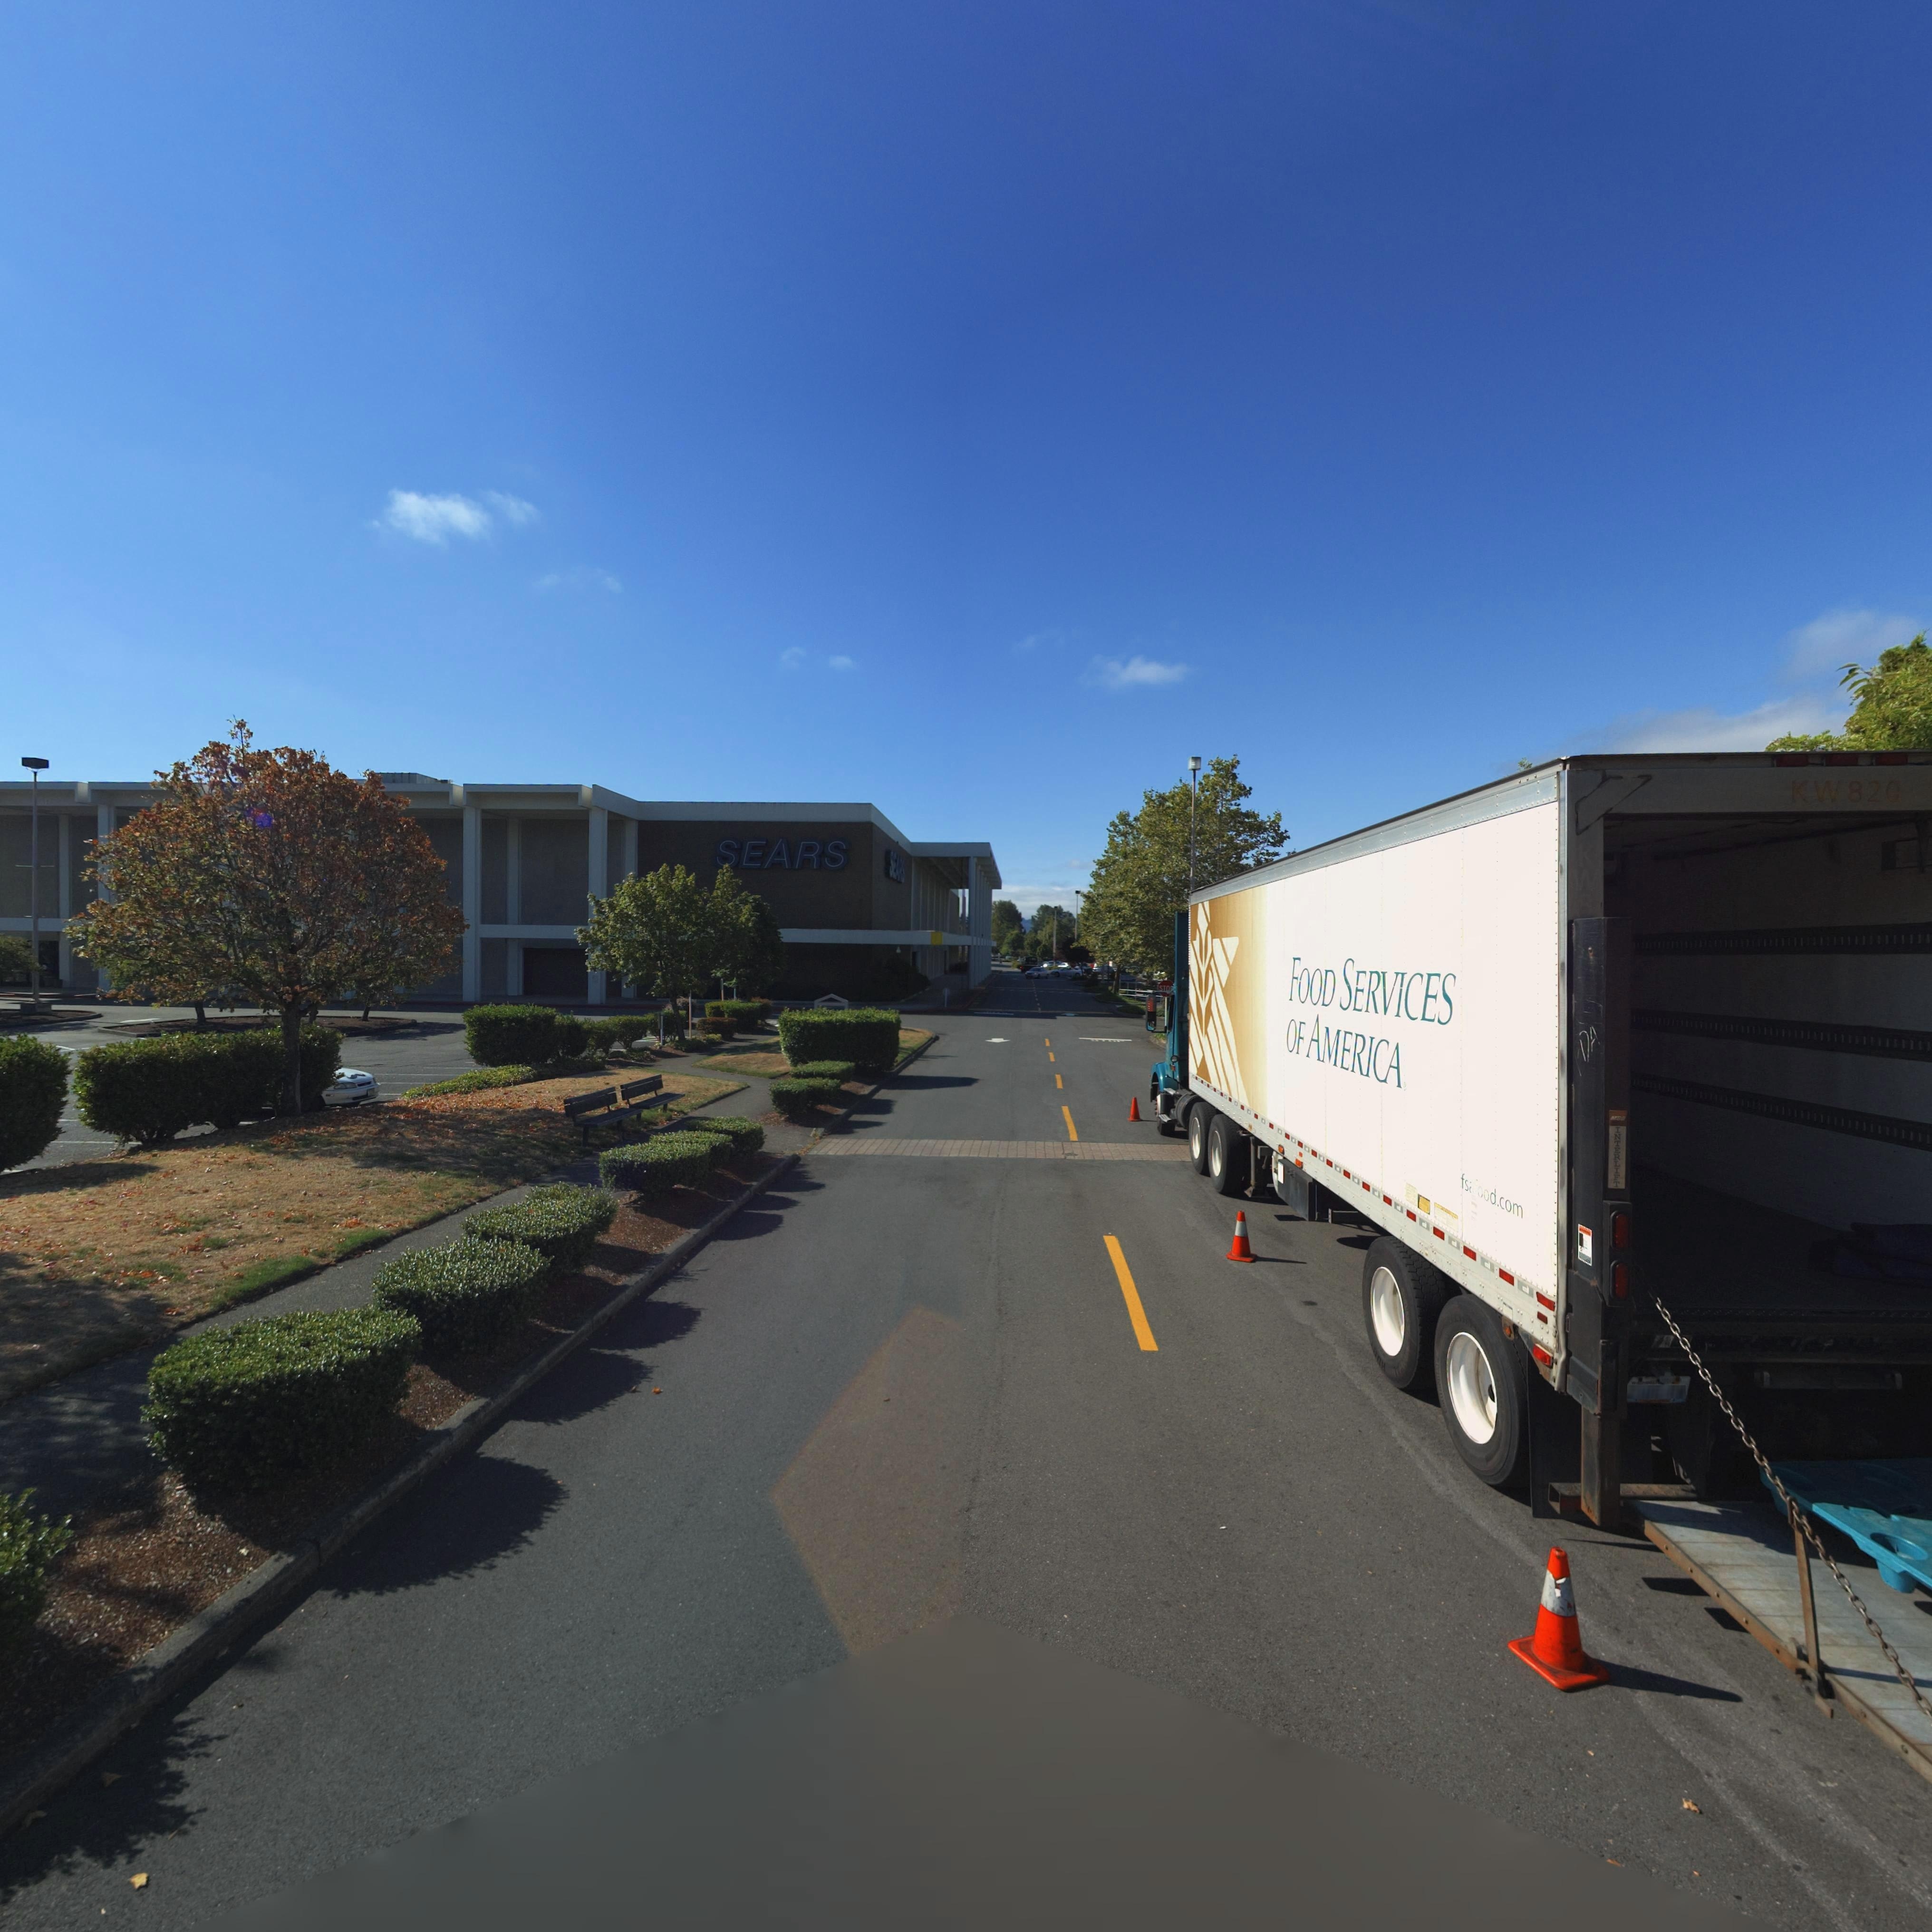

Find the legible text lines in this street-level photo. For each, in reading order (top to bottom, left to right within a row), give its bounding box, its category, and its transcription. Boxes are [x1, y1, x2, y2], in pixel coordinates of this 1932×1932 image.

[715, 840, 845, 868] BusinessName: SEARS